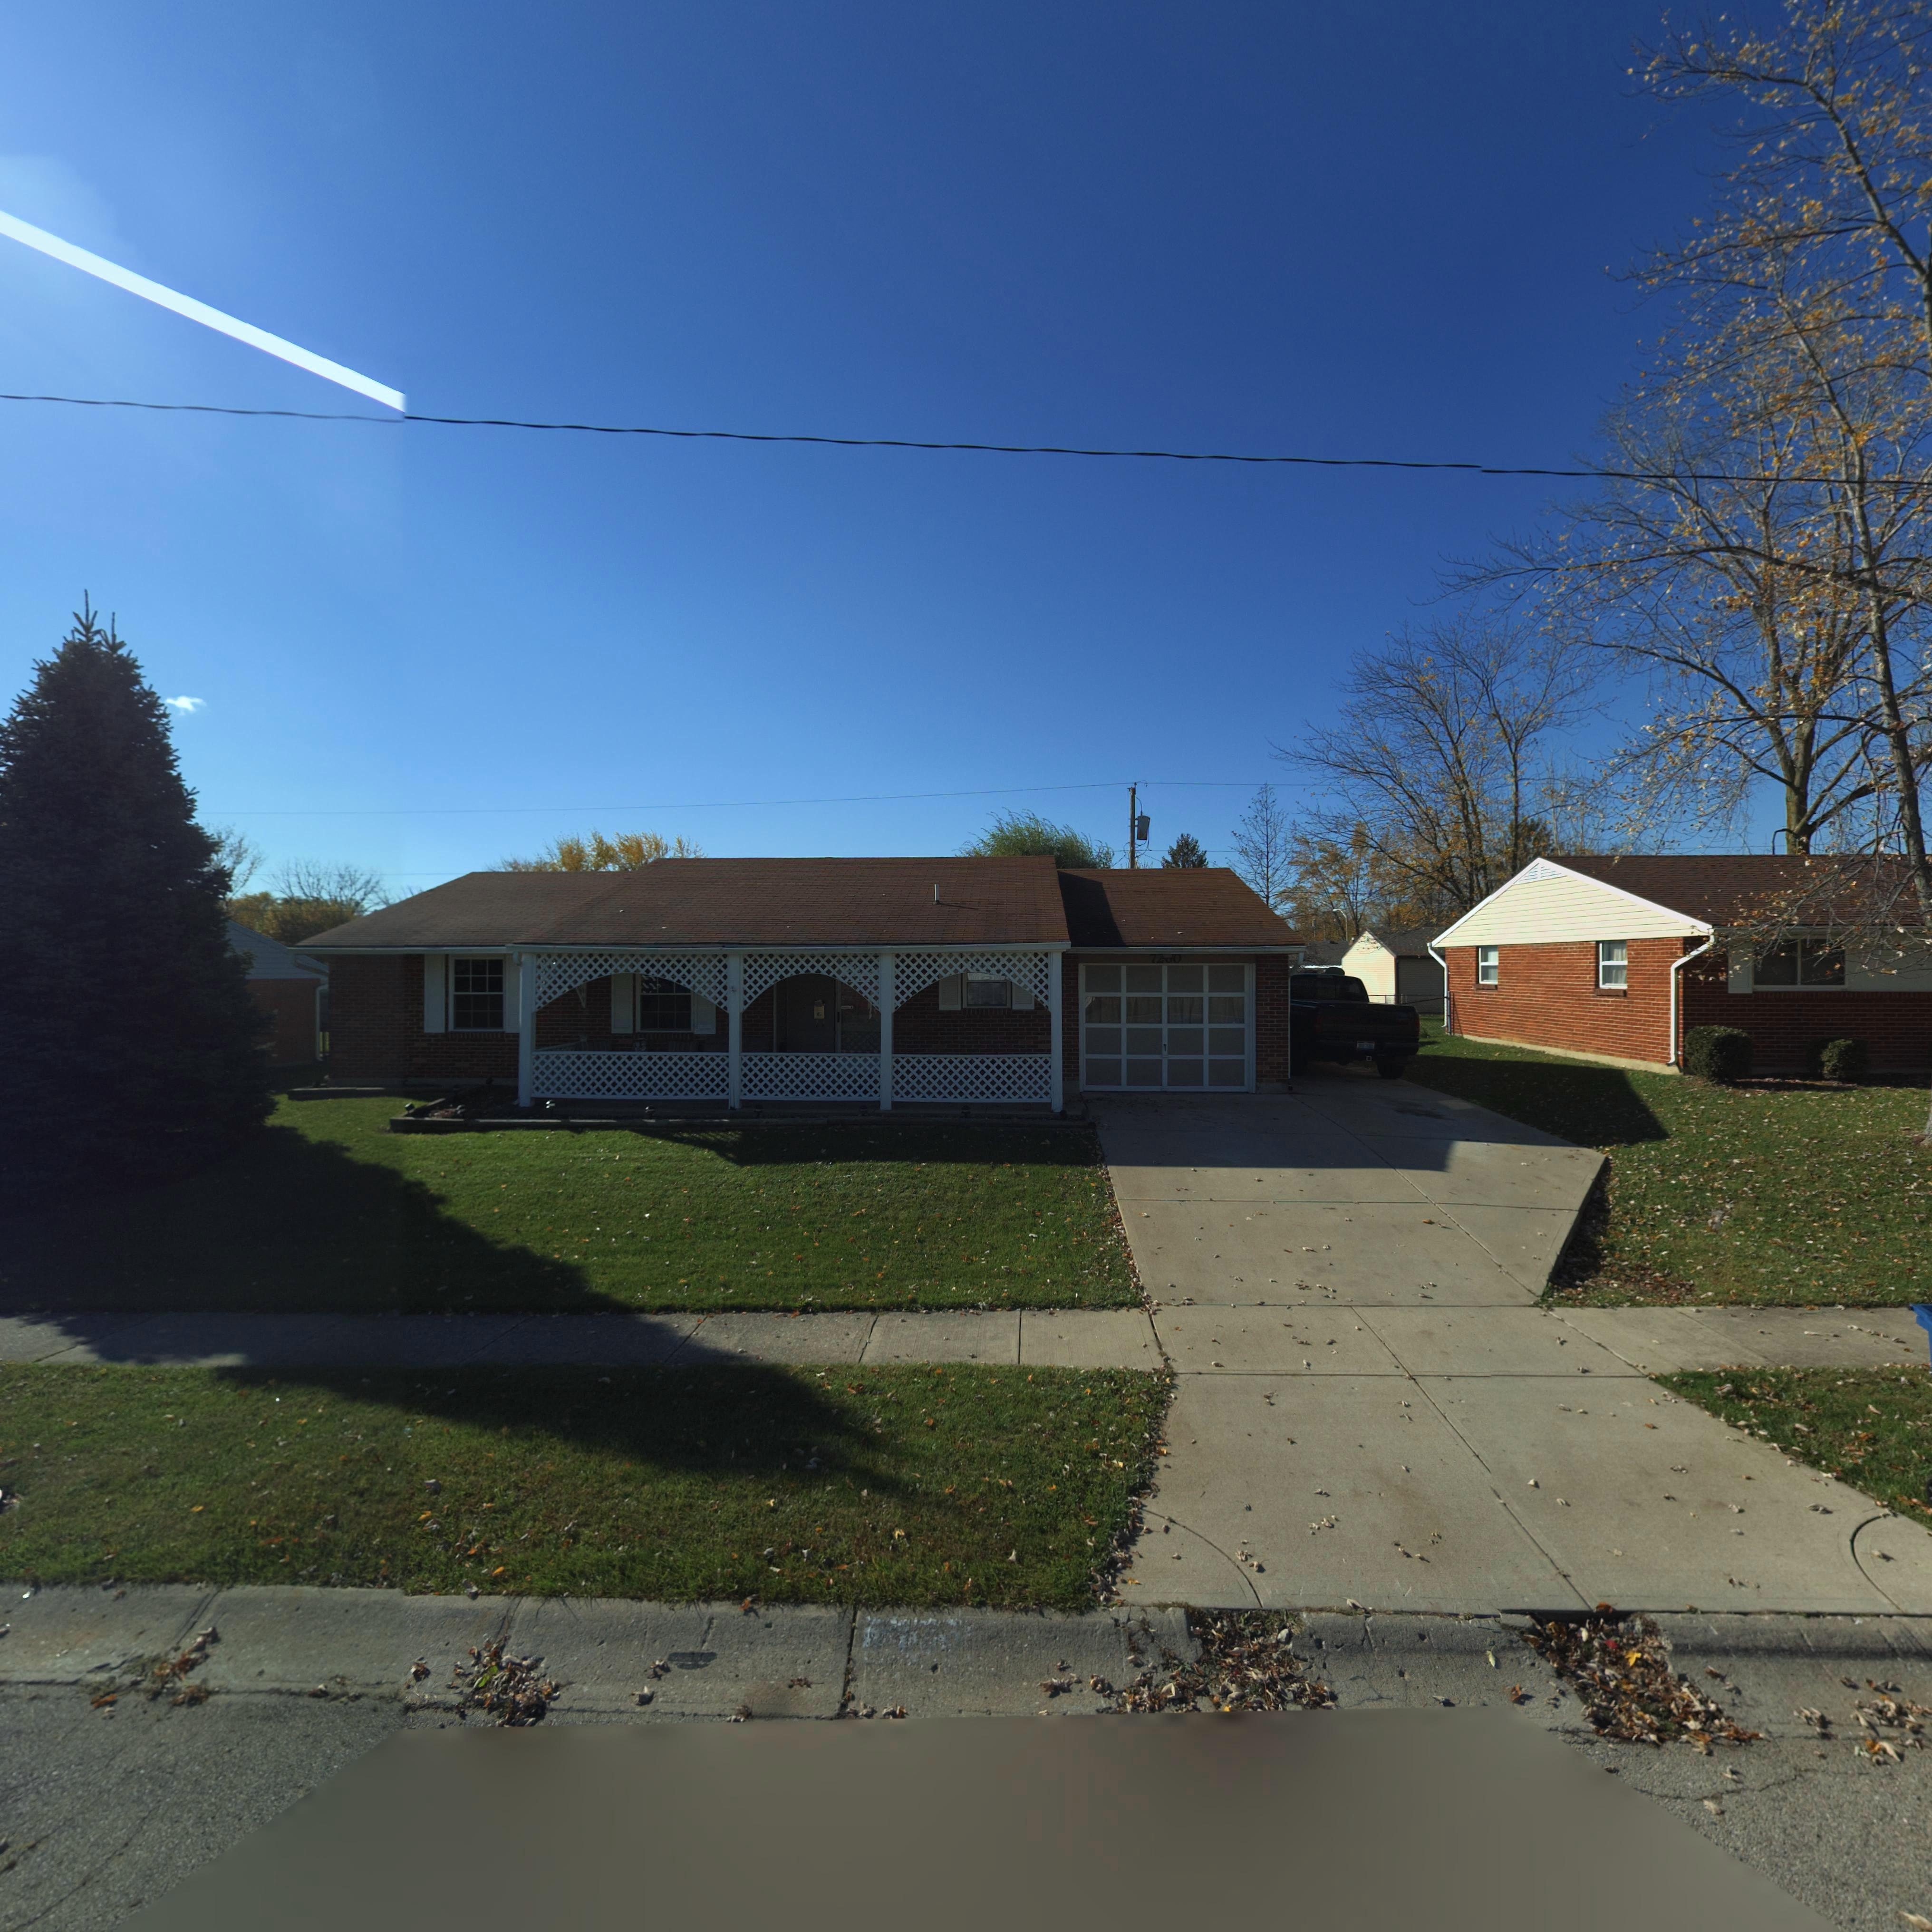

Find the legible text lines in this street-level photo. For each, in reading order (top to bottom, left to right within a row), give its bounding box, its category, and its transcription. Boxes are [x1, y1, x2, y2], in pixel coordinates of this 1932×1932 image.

[1148, 953, 1183, 965] StreetNumber: 7**0